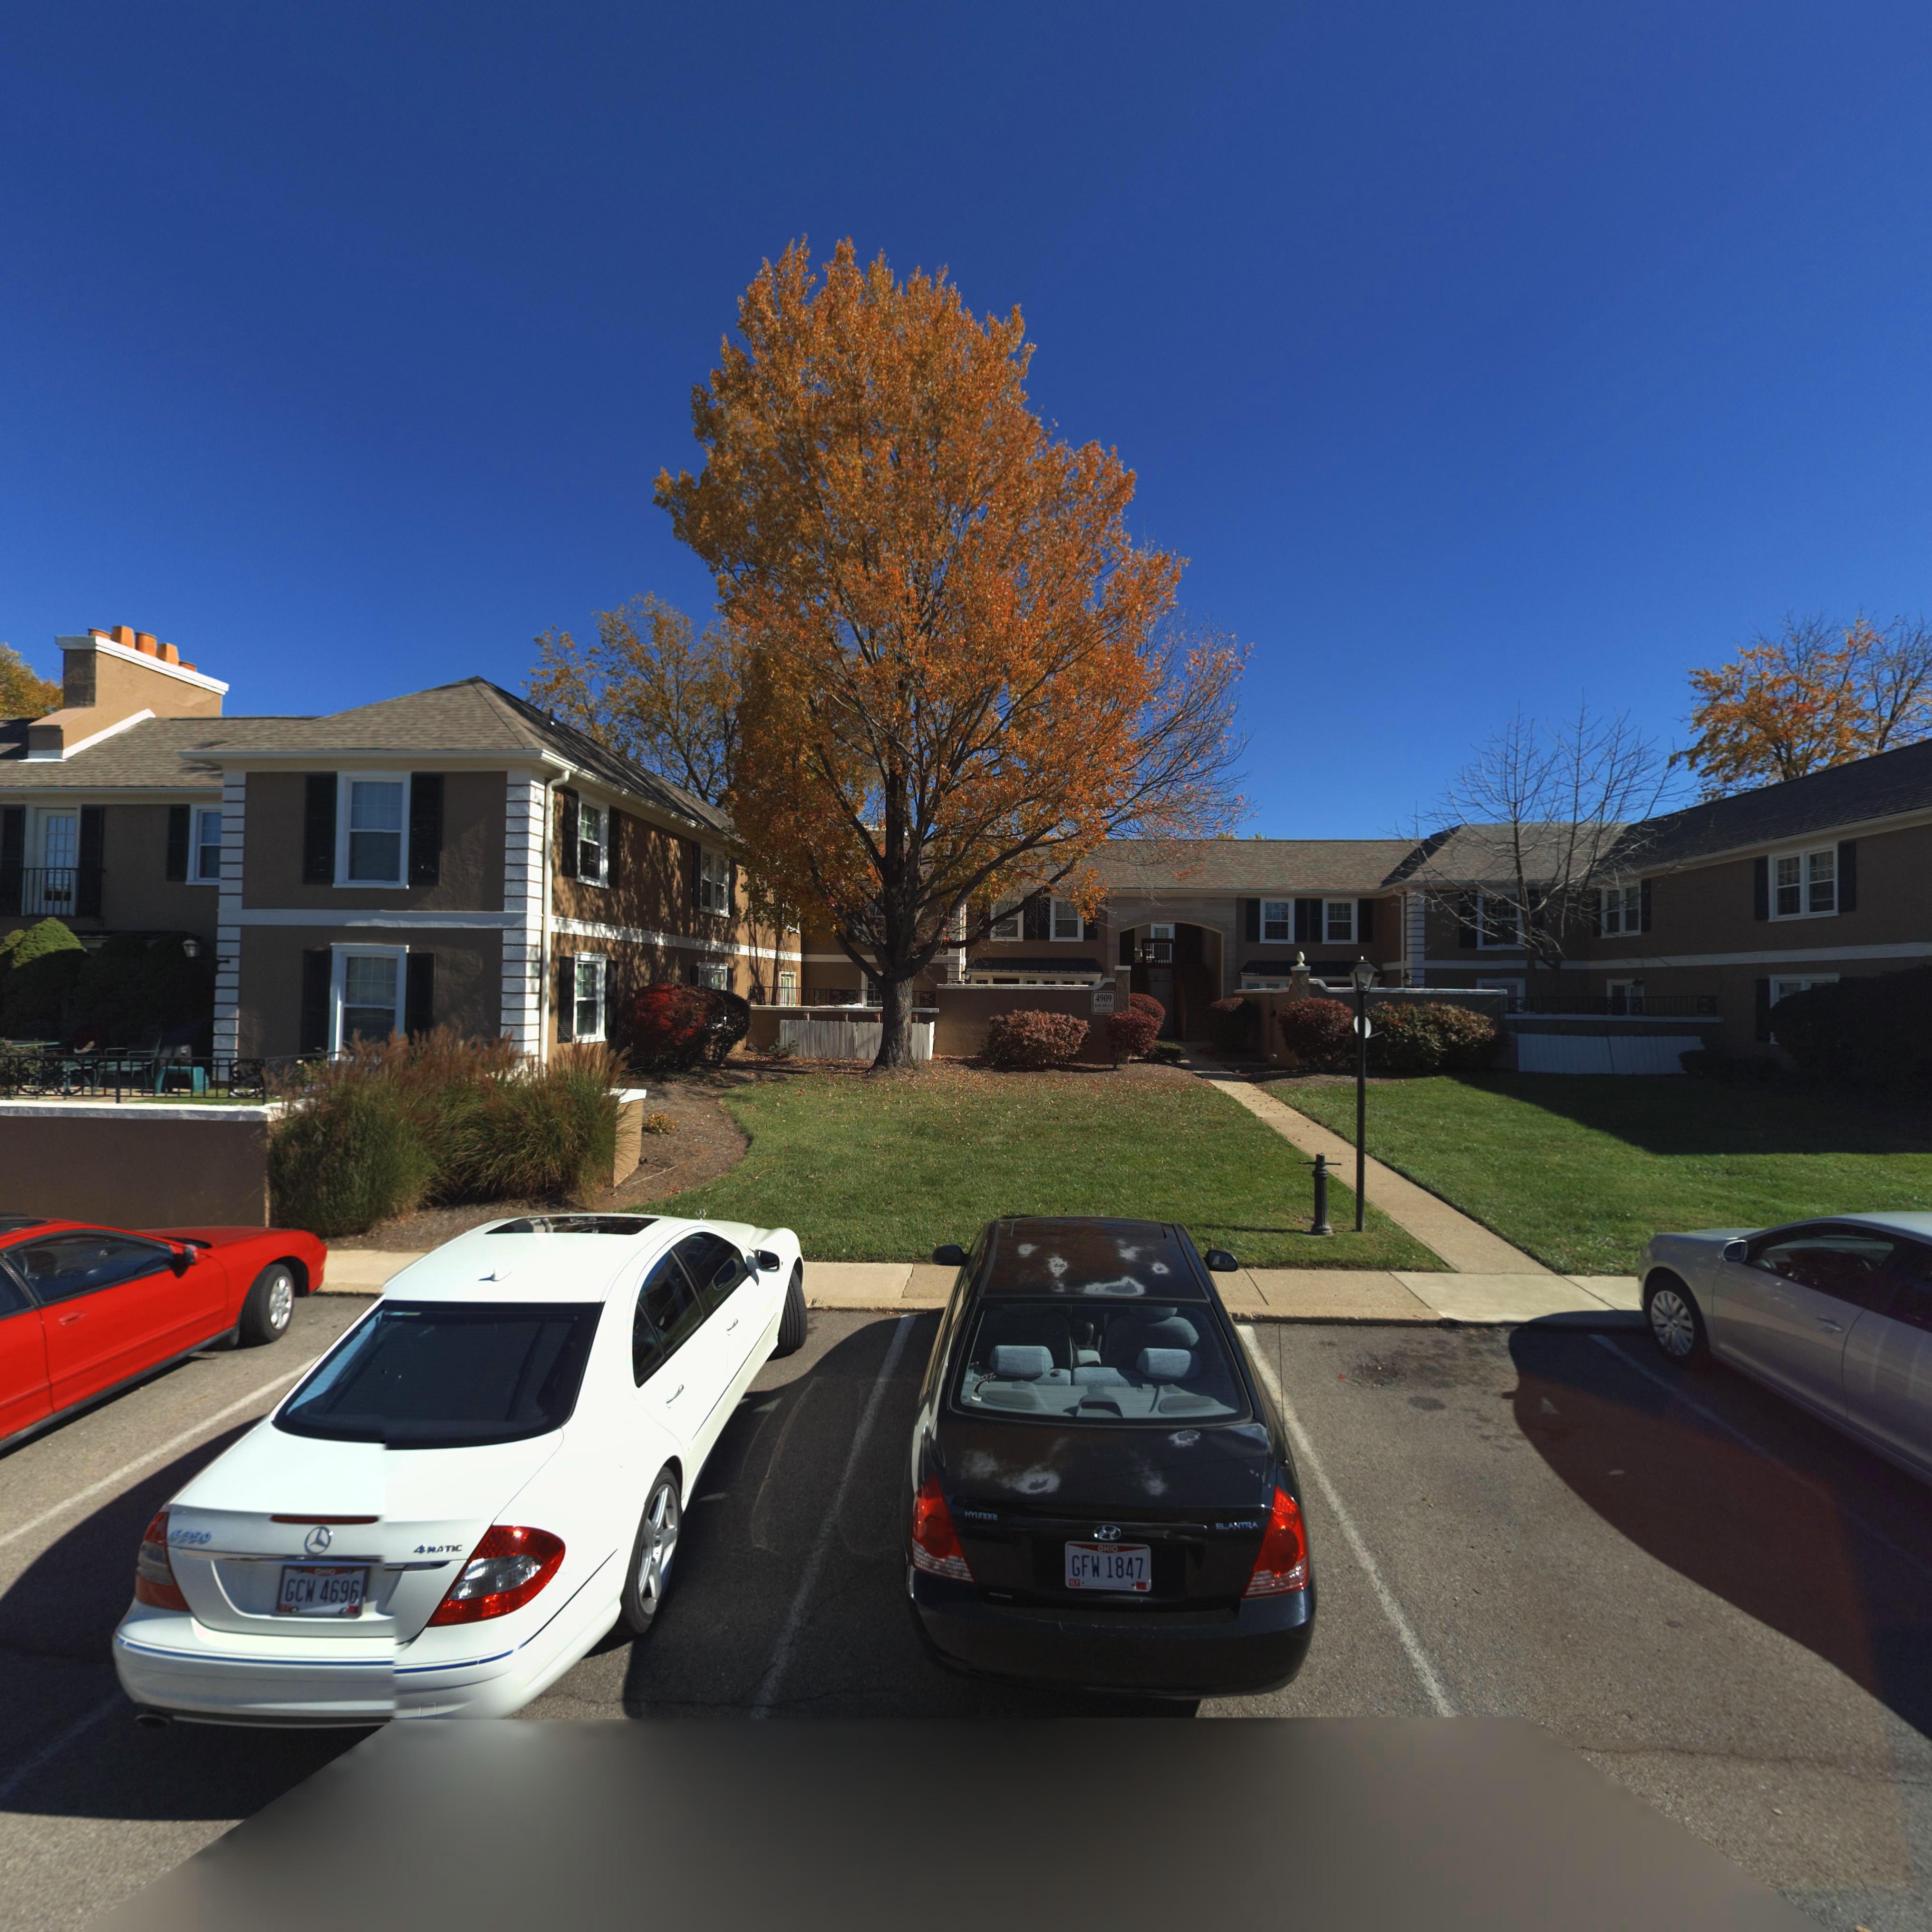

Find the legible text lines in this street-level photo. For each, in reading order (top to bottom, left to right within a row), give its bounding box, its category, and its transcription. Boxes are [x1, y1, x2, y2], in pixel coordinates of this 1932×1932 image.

[1094, 994, 1112, 1003] StreetNumber: 4909